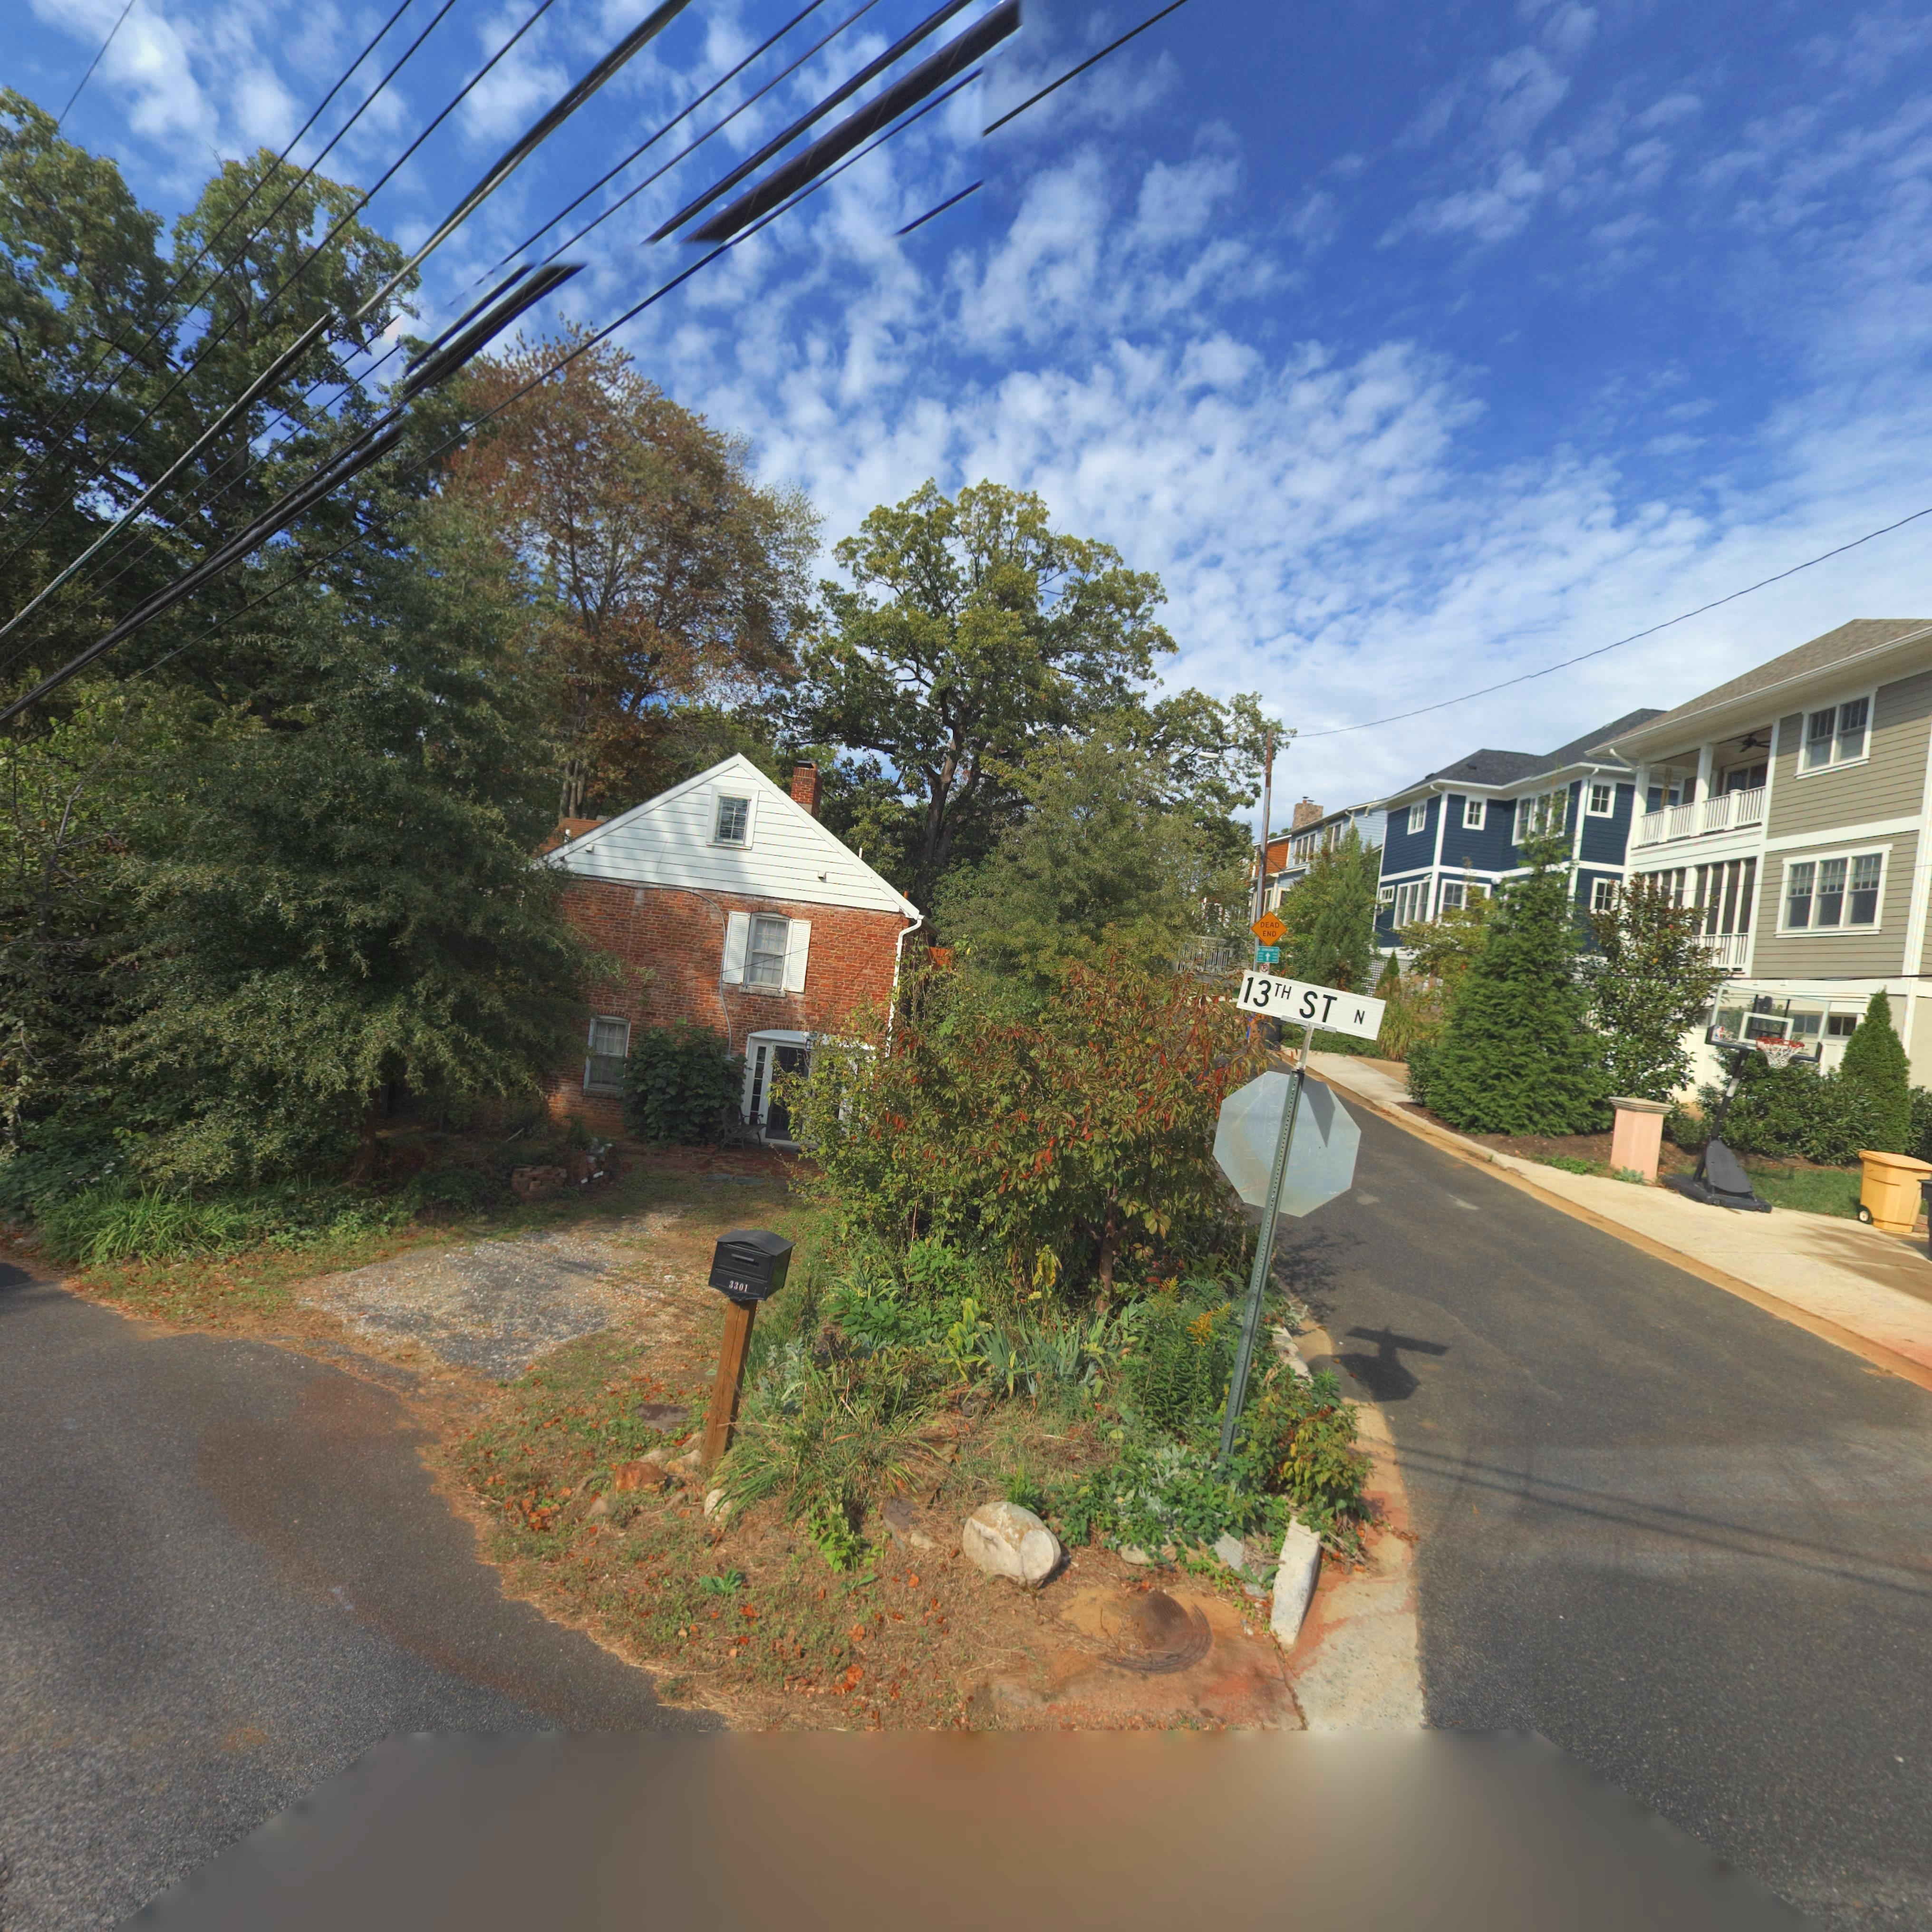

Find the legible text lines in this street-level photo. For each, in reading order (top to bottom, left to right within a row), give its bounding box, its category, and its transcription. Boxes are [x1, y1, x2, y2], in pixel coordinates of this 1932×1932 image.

[1260, 921, 1281, 929] None: DEAD
[1262, 930, 1277, 937] None: END
[1241, 973, 1367, 1026] StreetName: 13TH ST N
[727, 1278, 750, 1294] StreetNumber: 3301